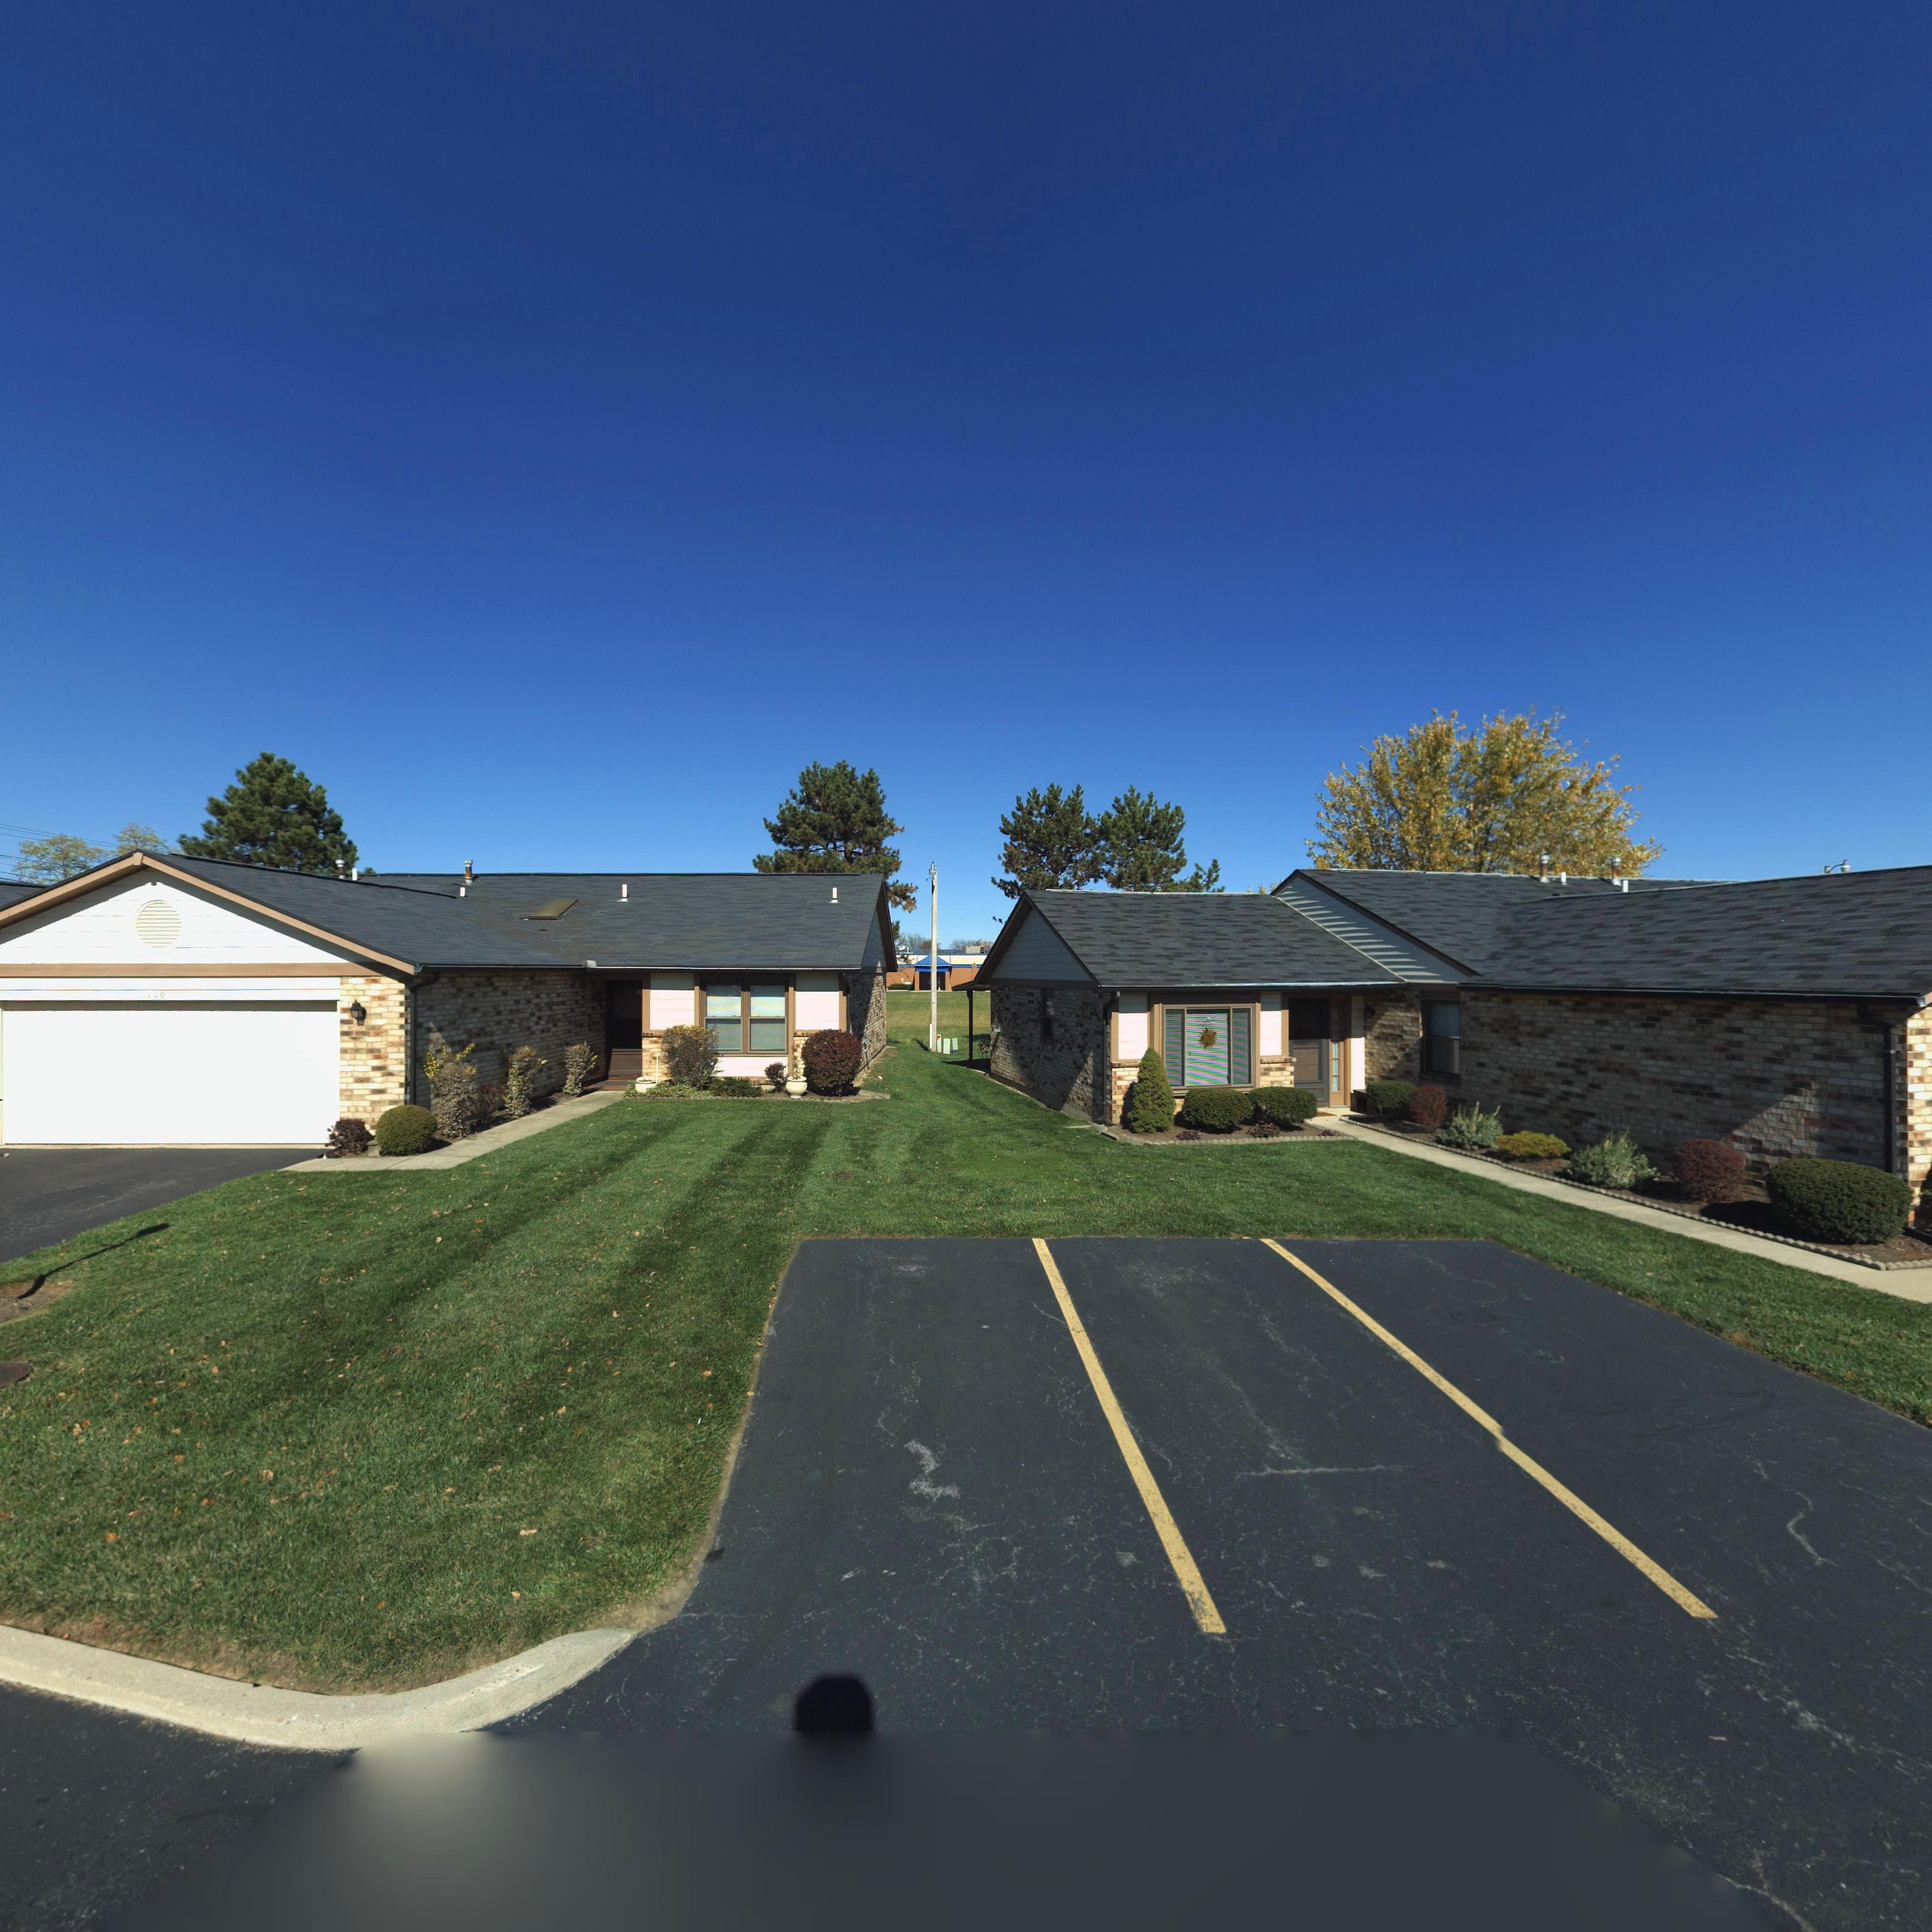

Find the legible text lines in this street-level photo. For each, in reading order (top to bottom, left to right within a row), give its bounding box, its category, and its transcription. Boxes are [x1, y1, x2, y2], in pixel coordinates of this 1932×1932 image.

[146, 991, 164, 999] StreetNumber: 110